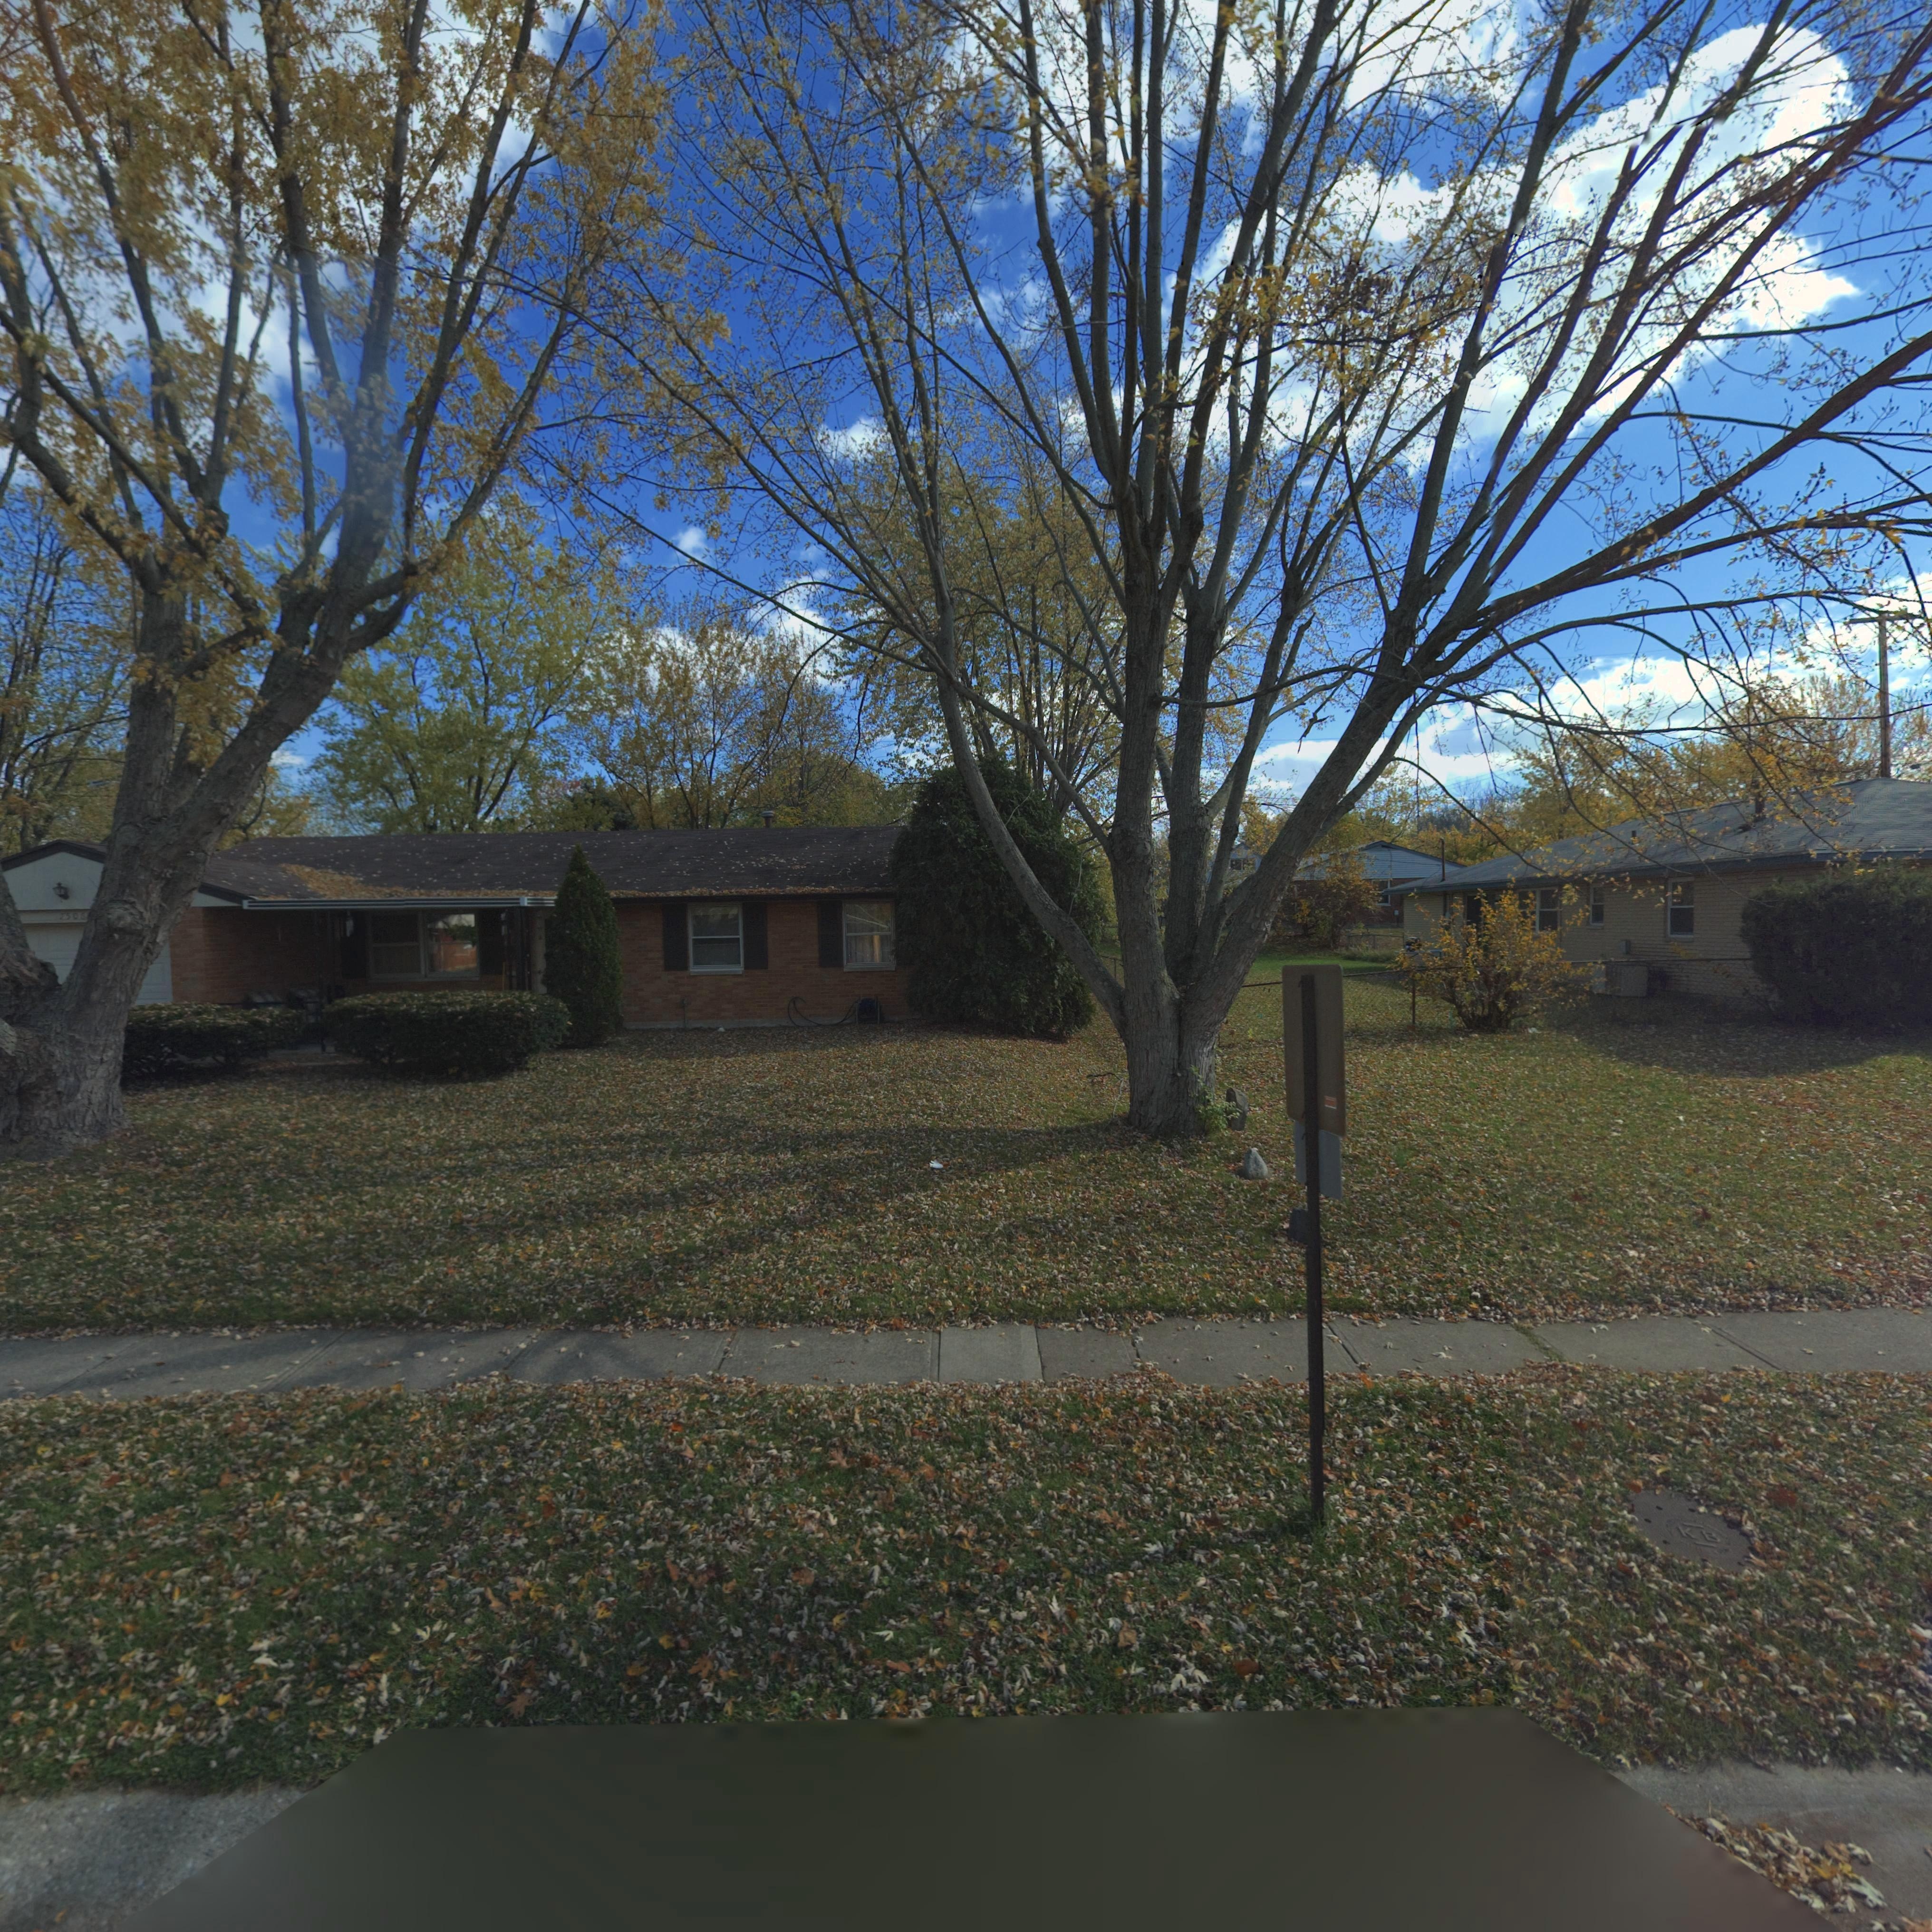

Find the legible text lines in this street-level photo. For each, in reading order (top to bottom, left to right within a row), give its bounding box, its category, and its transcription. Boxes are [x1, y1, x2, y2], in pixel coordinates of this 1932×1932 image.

[58, 911, 88, 921] StreetNumber: 7506